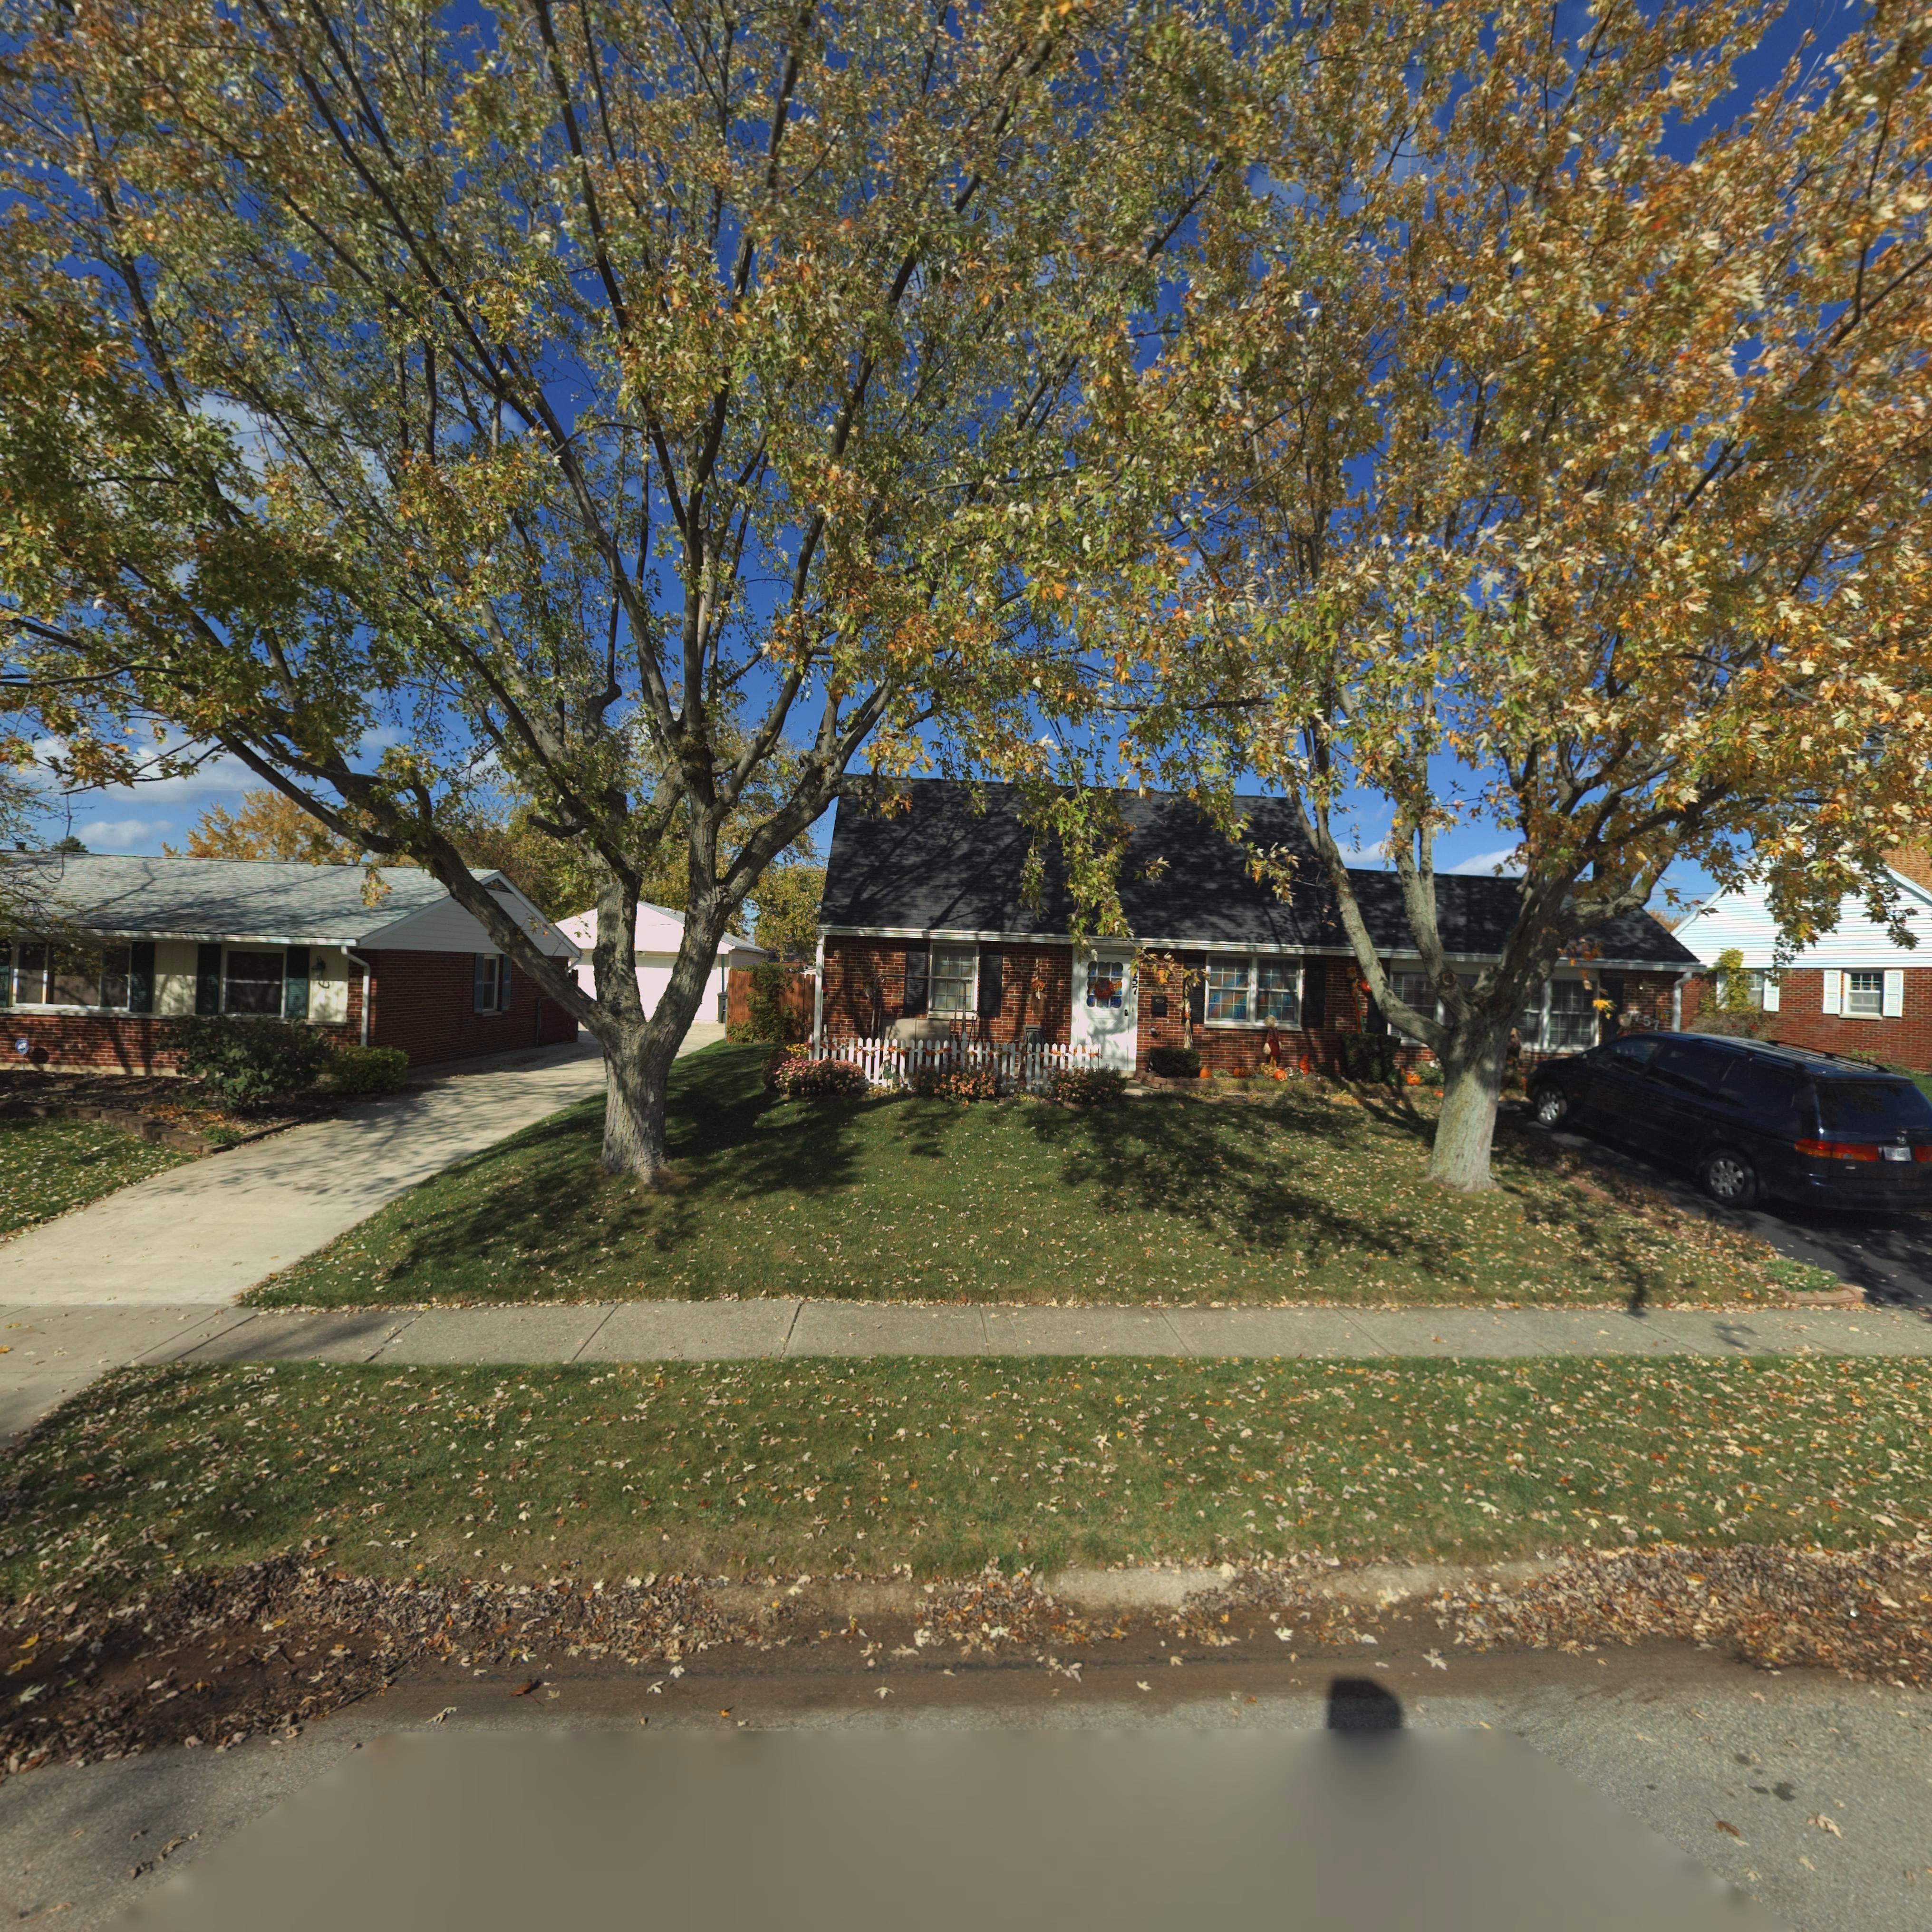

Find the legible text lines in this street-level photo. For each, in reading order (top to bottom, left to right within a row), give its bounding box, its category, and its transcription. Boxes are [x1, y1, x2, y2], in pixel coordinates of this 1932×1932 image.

[1131, 976, 1139, 995] StreetNumber: 57